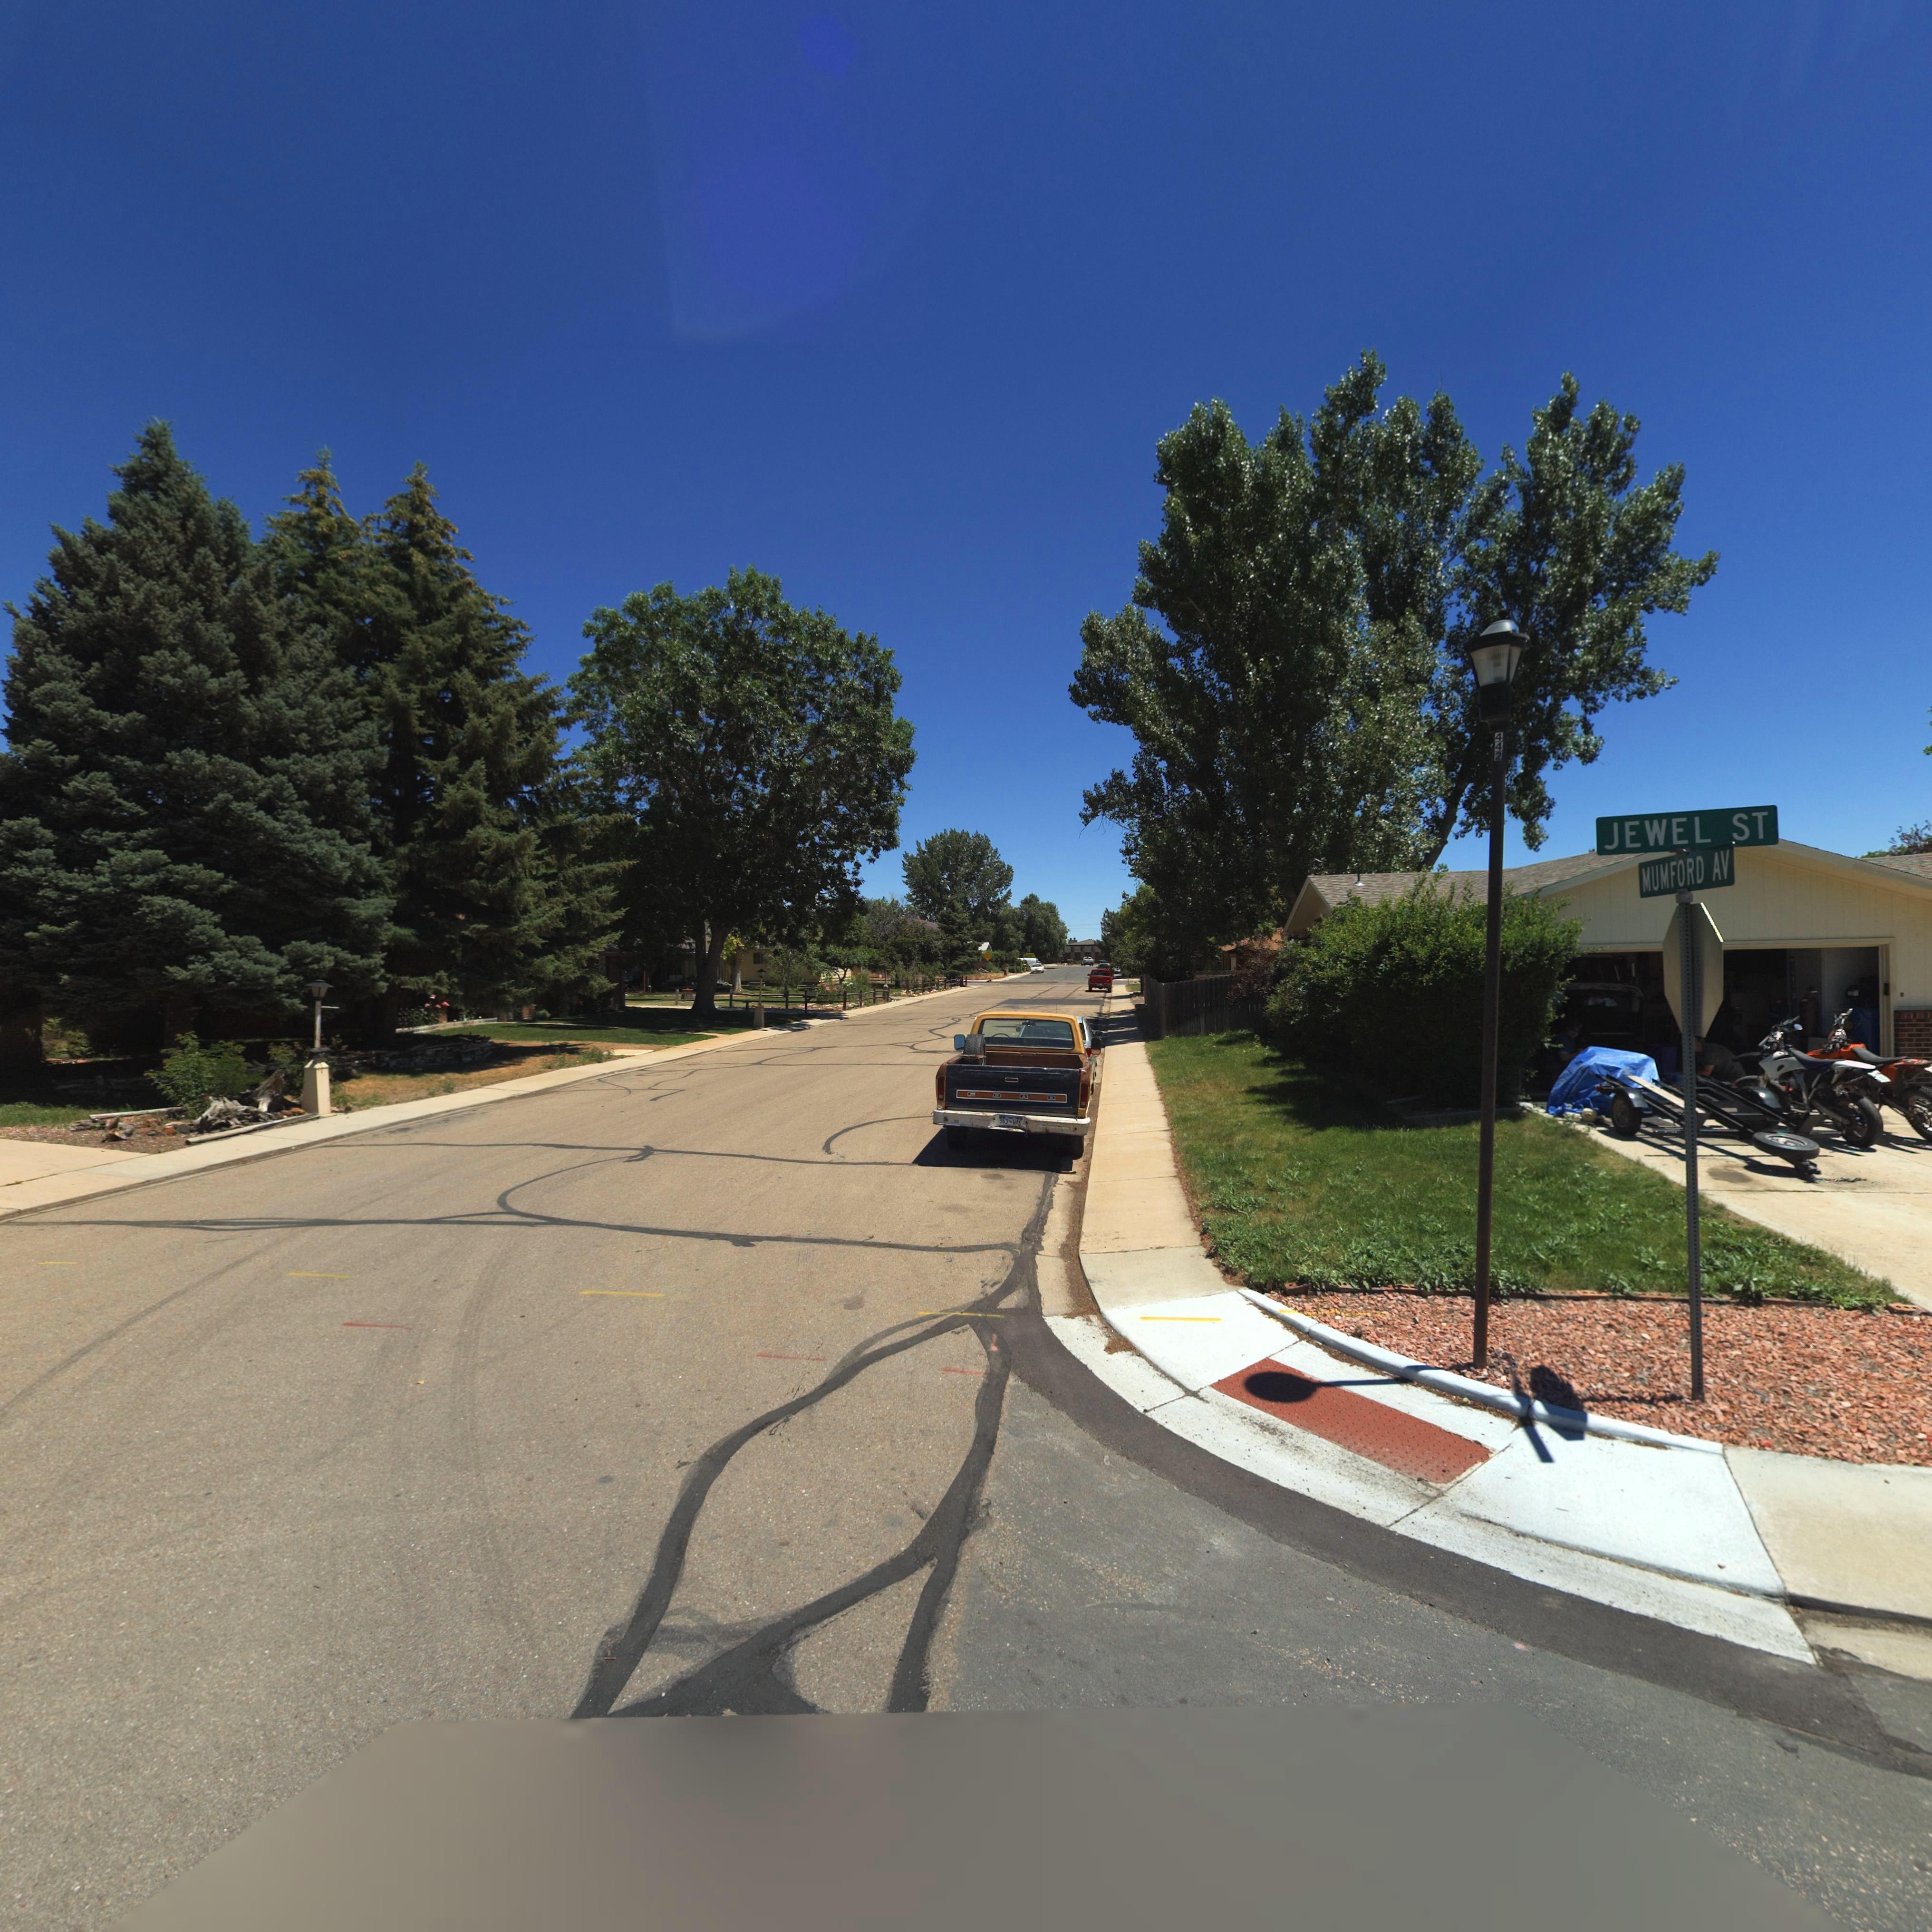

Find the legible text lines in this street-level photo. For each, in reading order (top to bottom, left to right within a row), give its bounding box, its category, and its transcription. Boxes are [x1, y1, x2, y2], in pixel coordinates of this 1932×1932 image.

[1603, 811, 1768, 850] StreetName: JEWEL ST
[1641, 848, 1729, 892] StreetName: MUMFORD AV